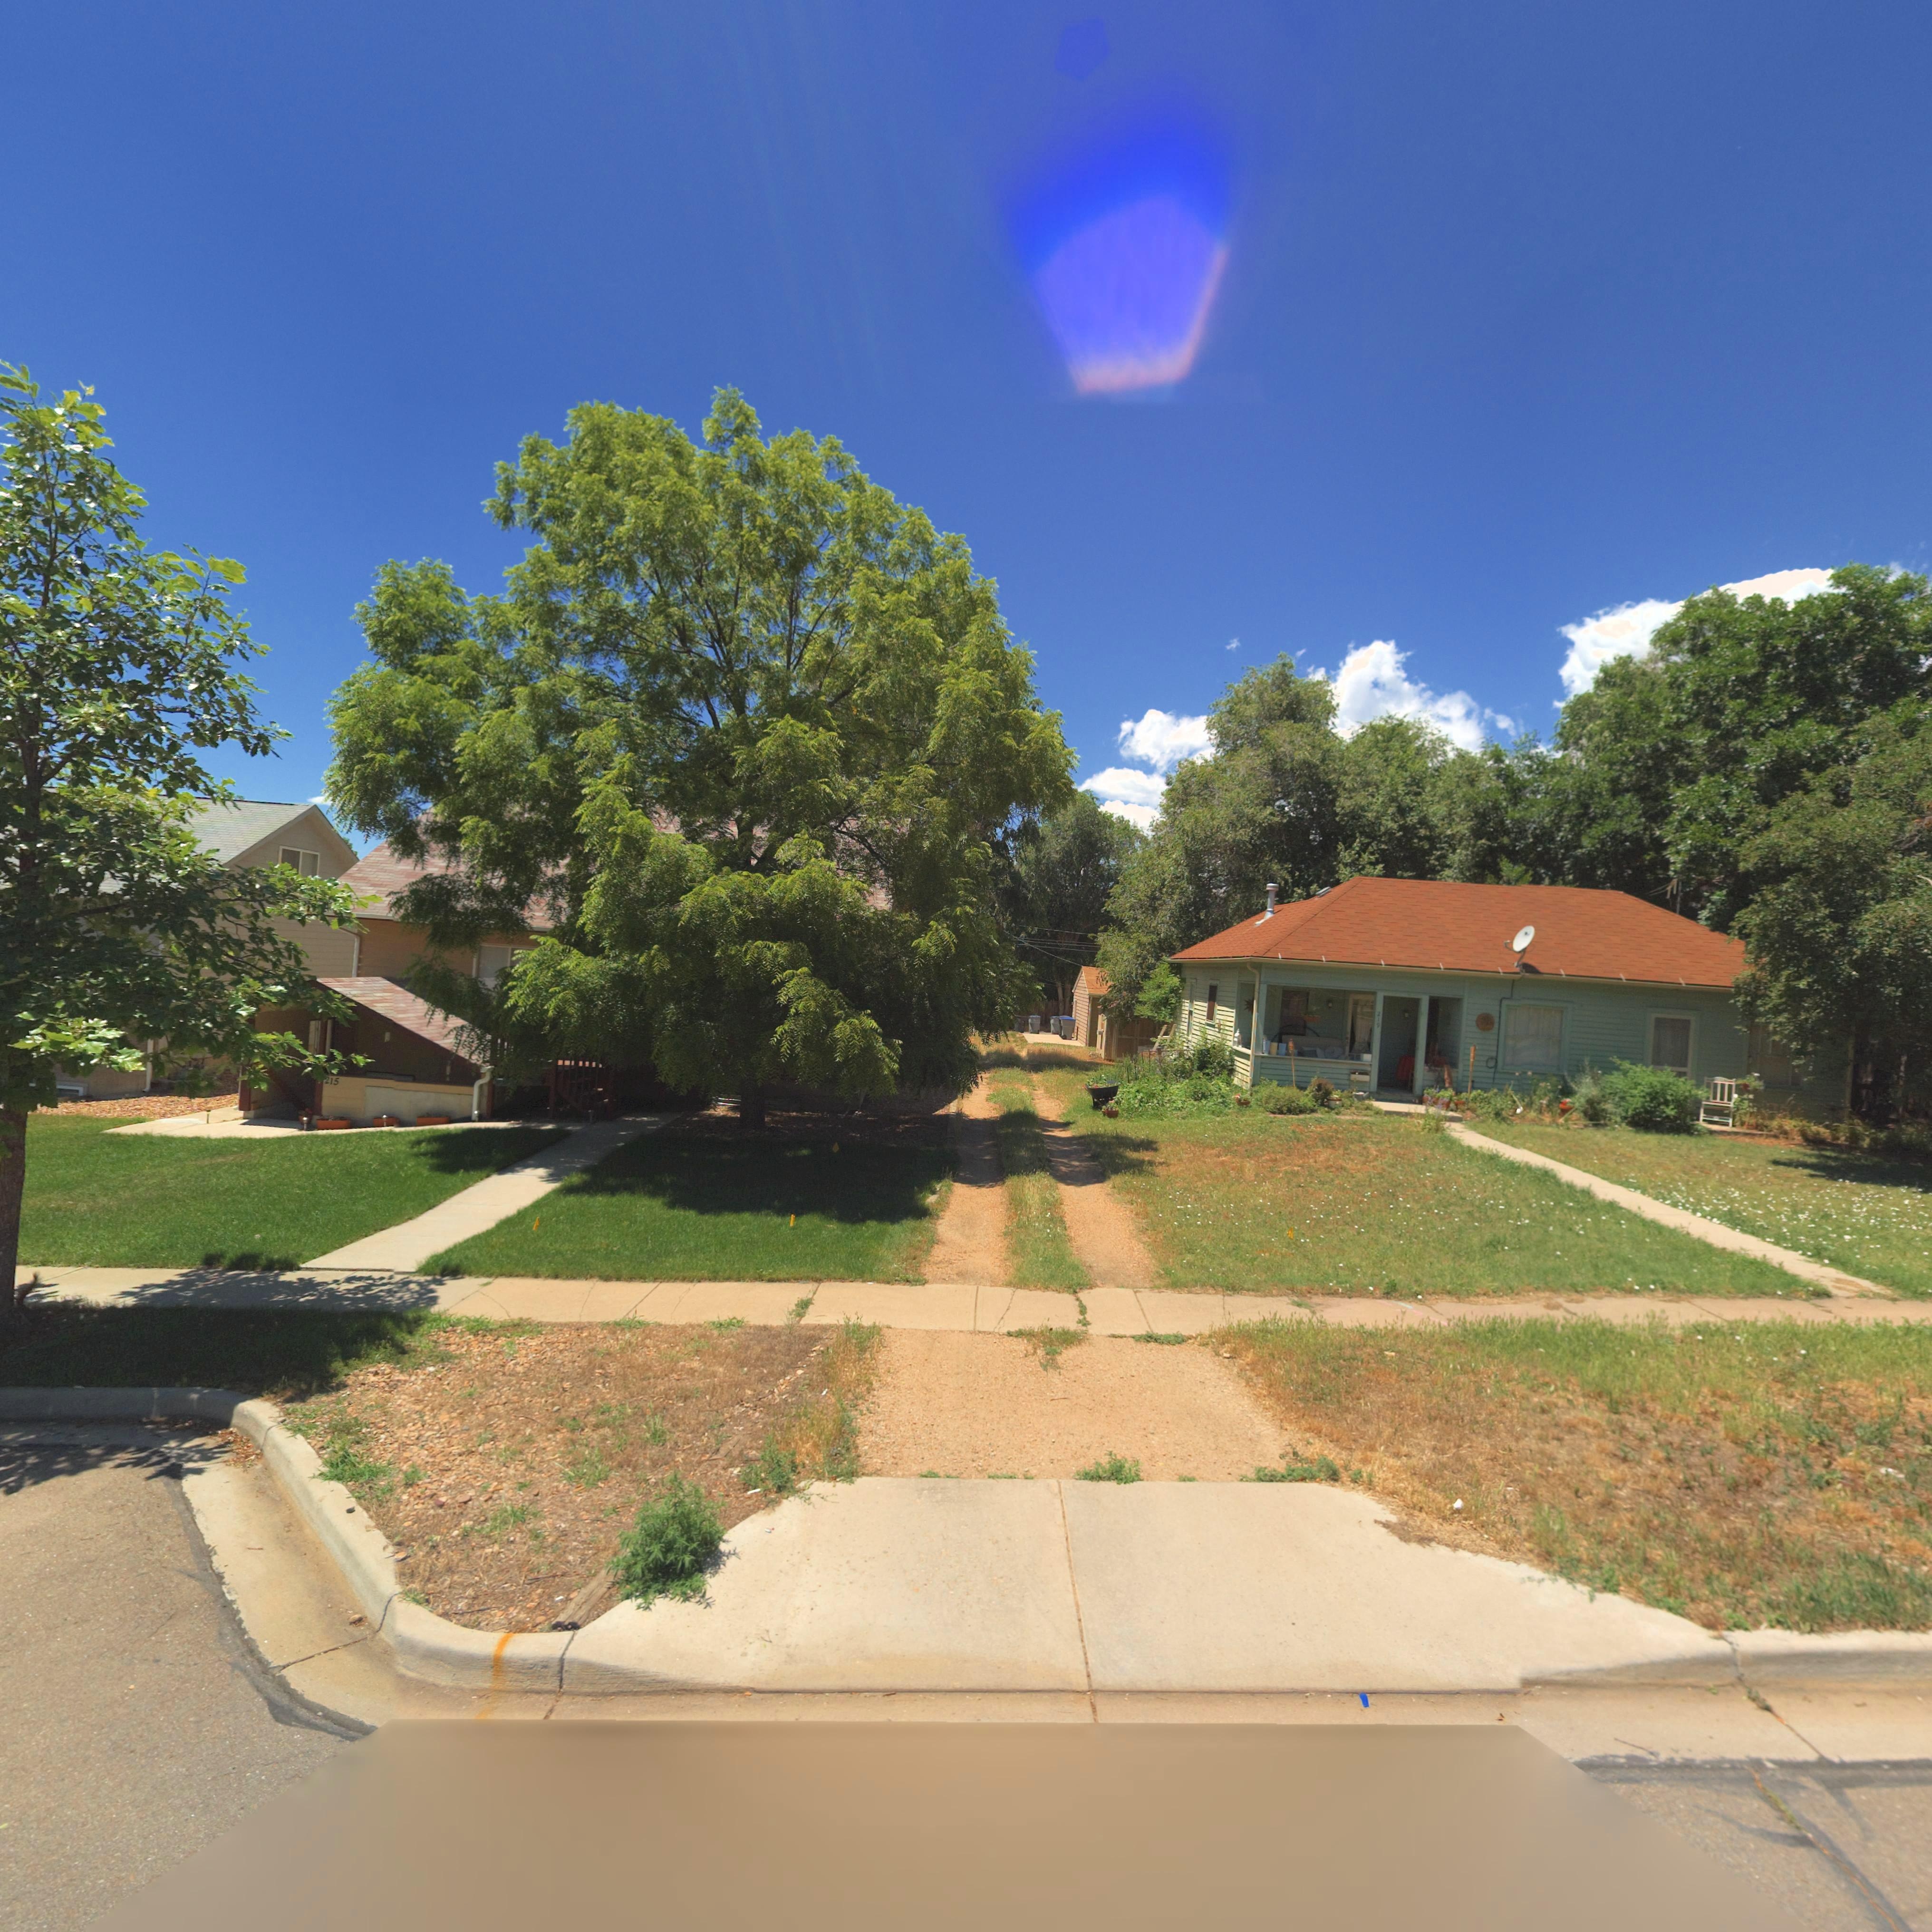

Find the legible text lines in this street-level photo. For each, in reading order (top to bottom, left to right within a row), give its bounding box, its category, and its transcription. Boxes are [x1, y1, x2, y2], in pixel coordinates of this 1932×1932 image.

[1376, 1011, 1381, 1029] StreetNumber: 219
[323, 1075, 340, 1086] StreetNumber: 215